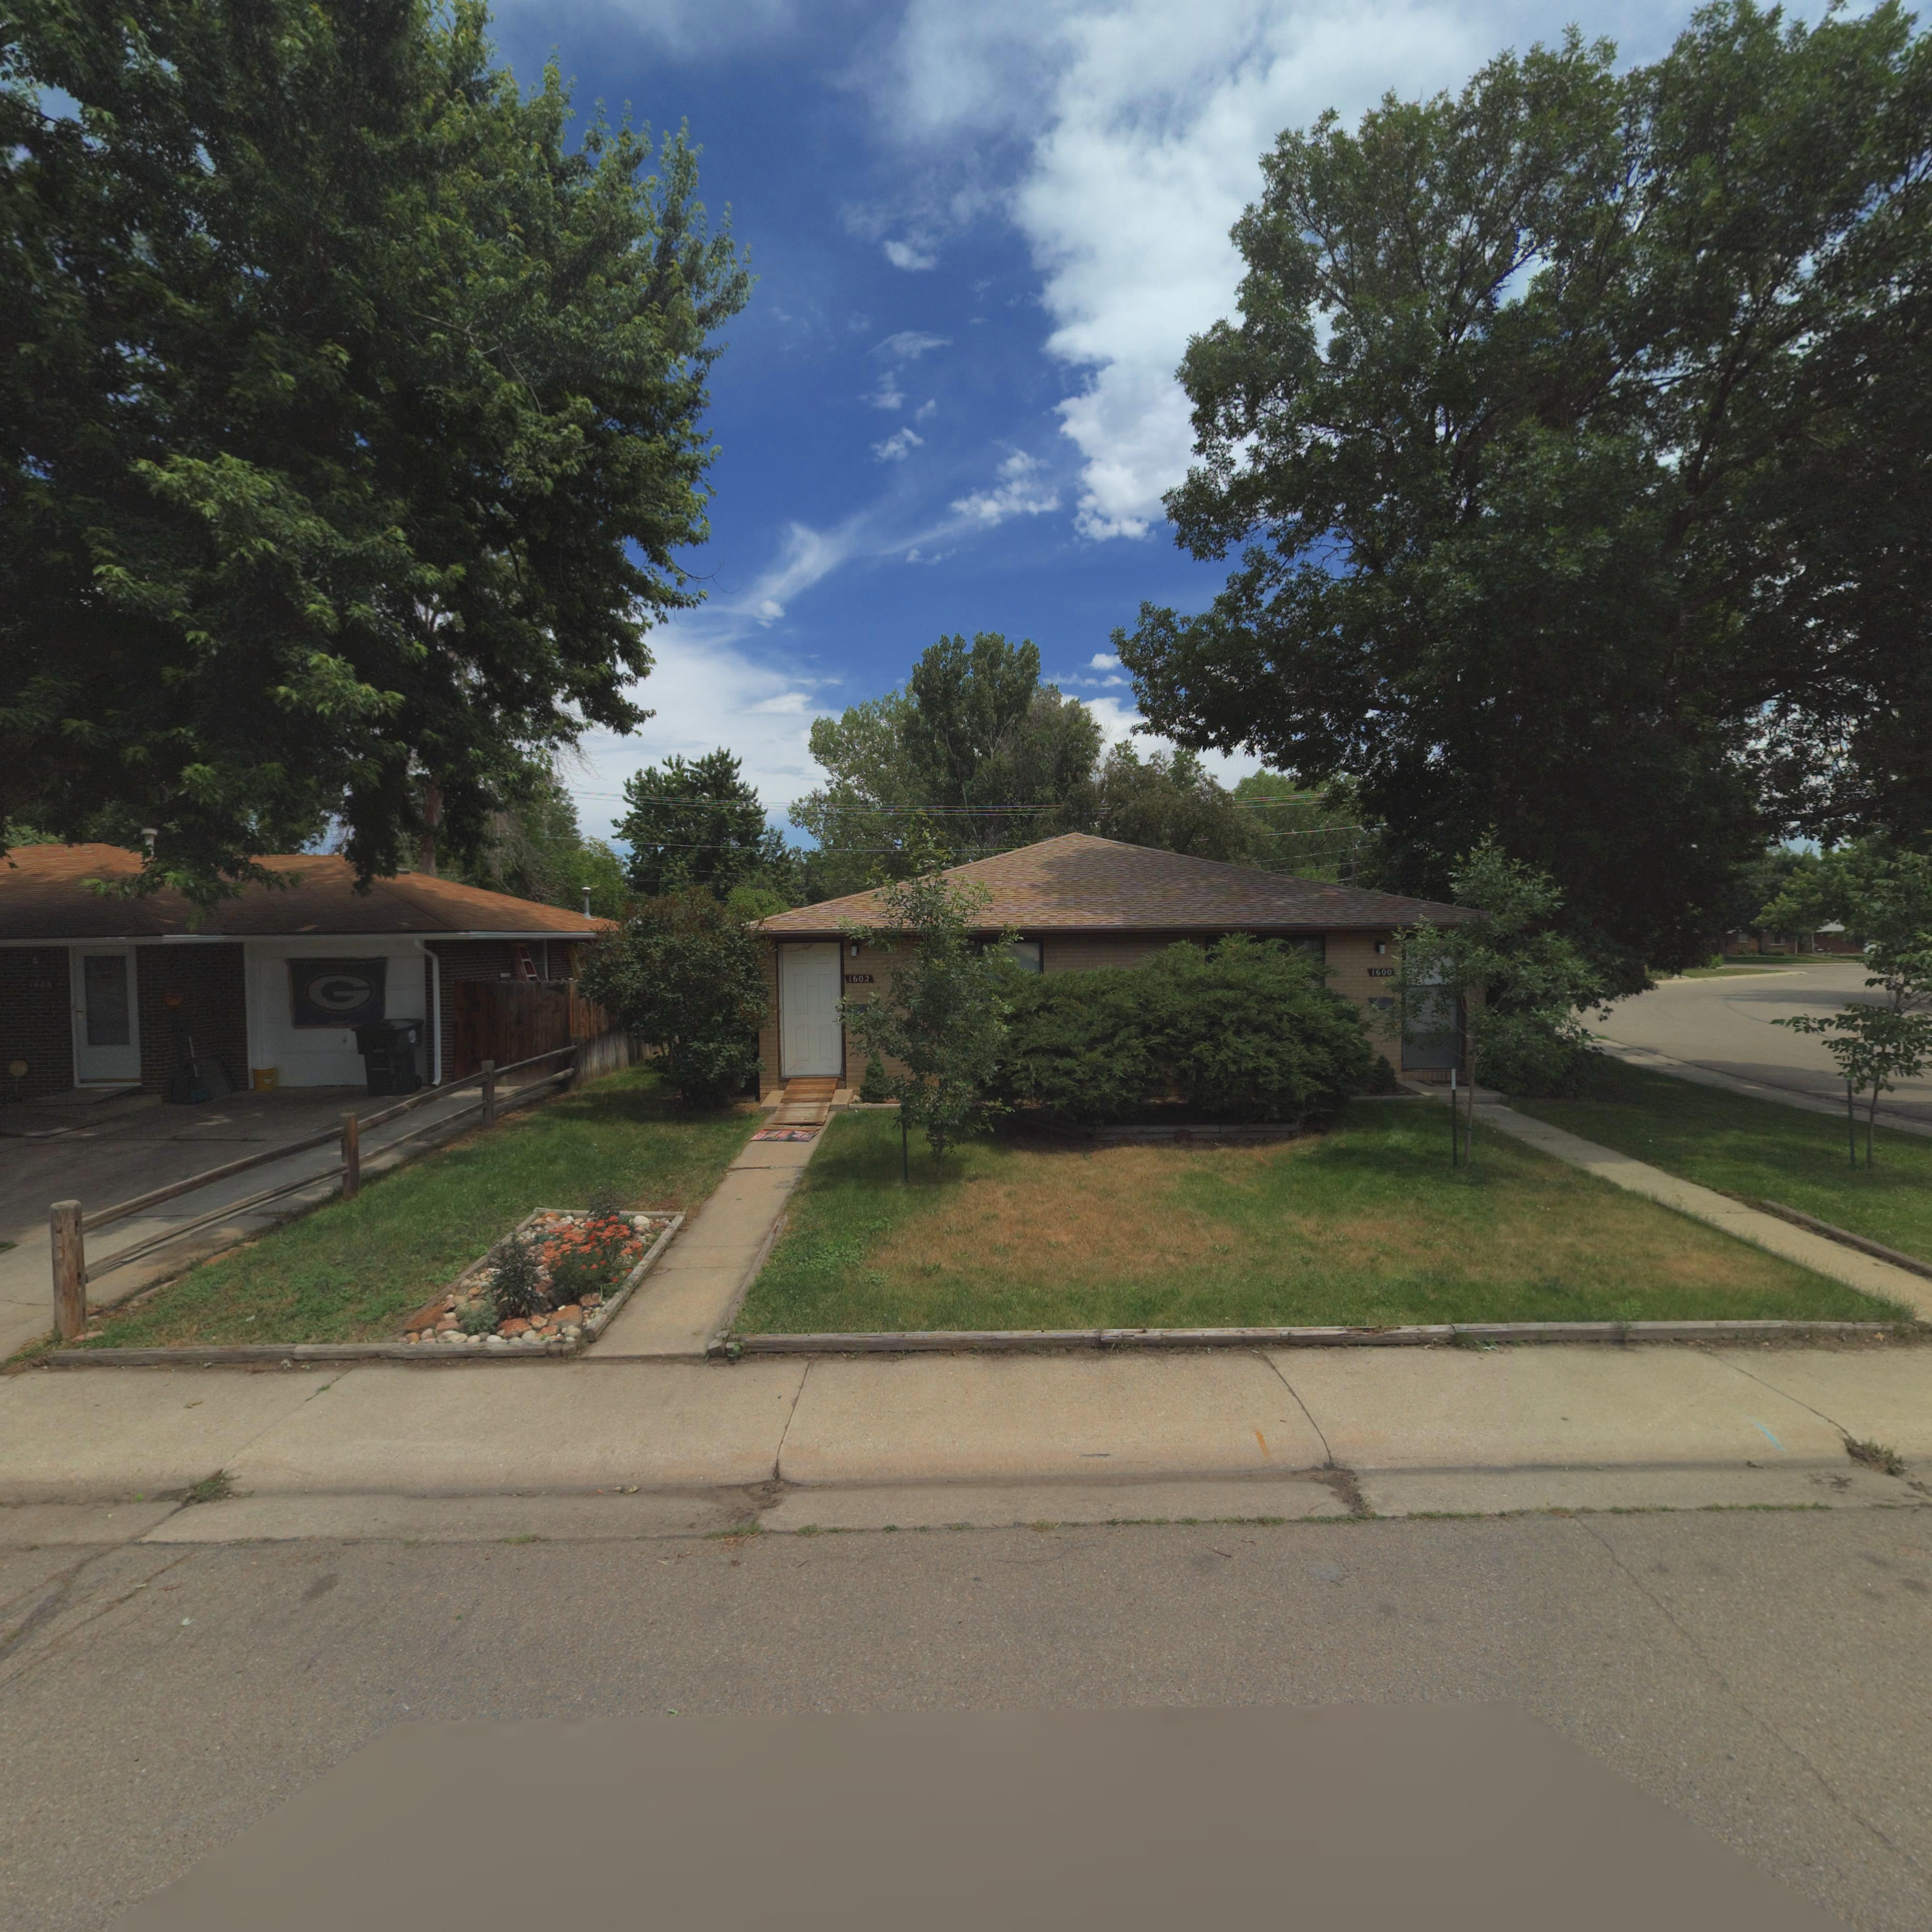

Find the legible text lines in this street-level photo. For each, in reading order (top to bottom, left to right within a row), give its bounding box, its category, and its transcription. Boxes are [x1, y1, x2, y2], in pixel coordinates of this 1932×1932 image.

[1371, 969, 1392, 976] StreetNumber: 1600
[848, 975, 869, 982] StreetNumber: 1602
[28, 980, 52, 989] StreetNumber: 160*